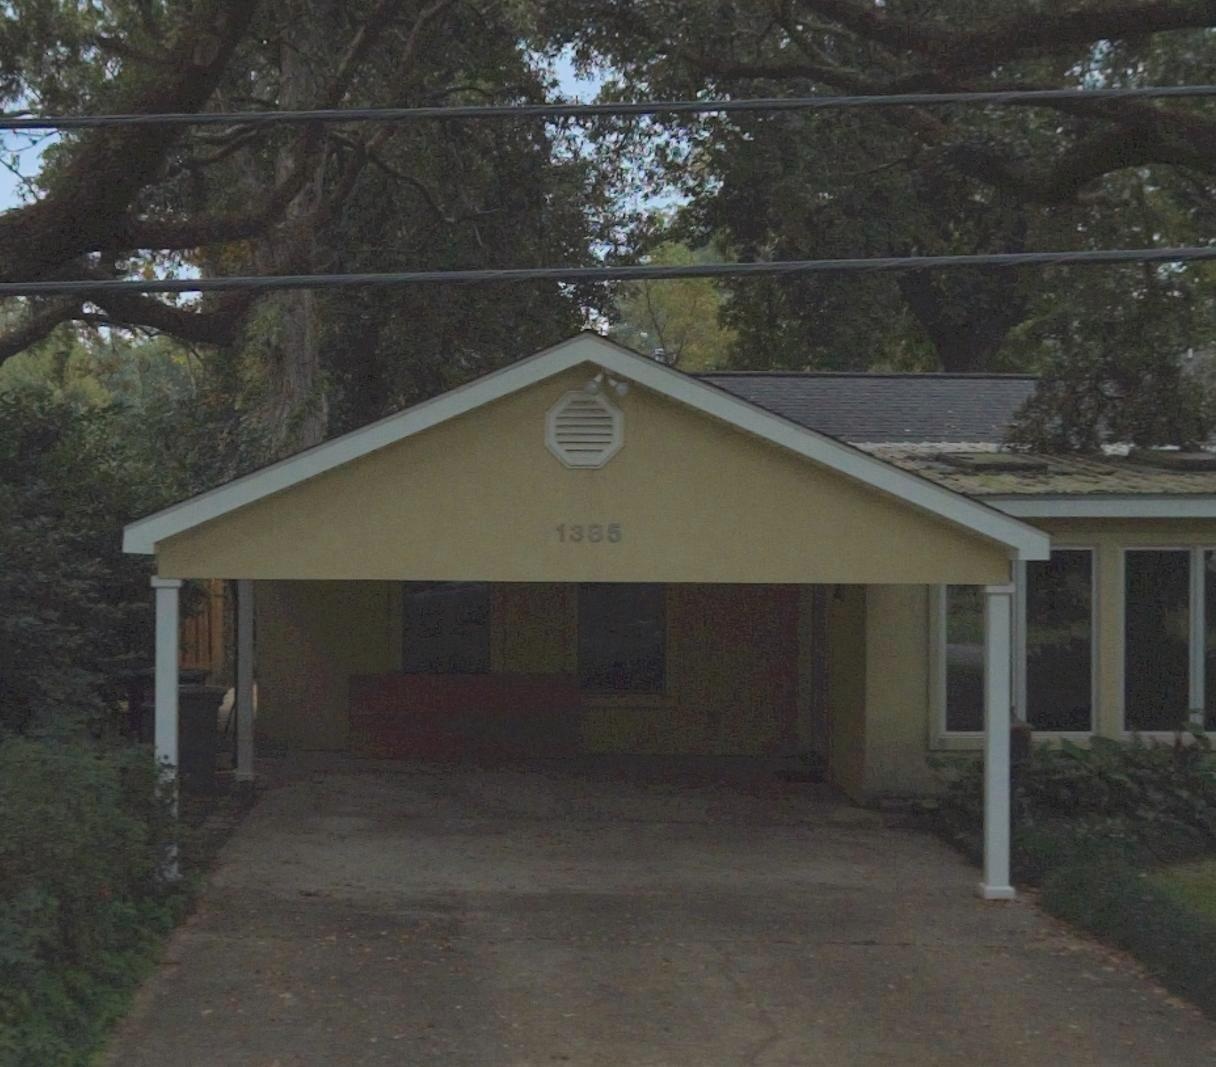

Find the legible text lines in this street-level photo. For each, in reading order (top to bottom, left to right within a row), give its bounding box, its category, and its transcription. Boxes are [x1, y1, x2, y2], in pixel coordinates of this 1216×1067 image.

[556, 522, 622, 543] StreetNumber: 1385